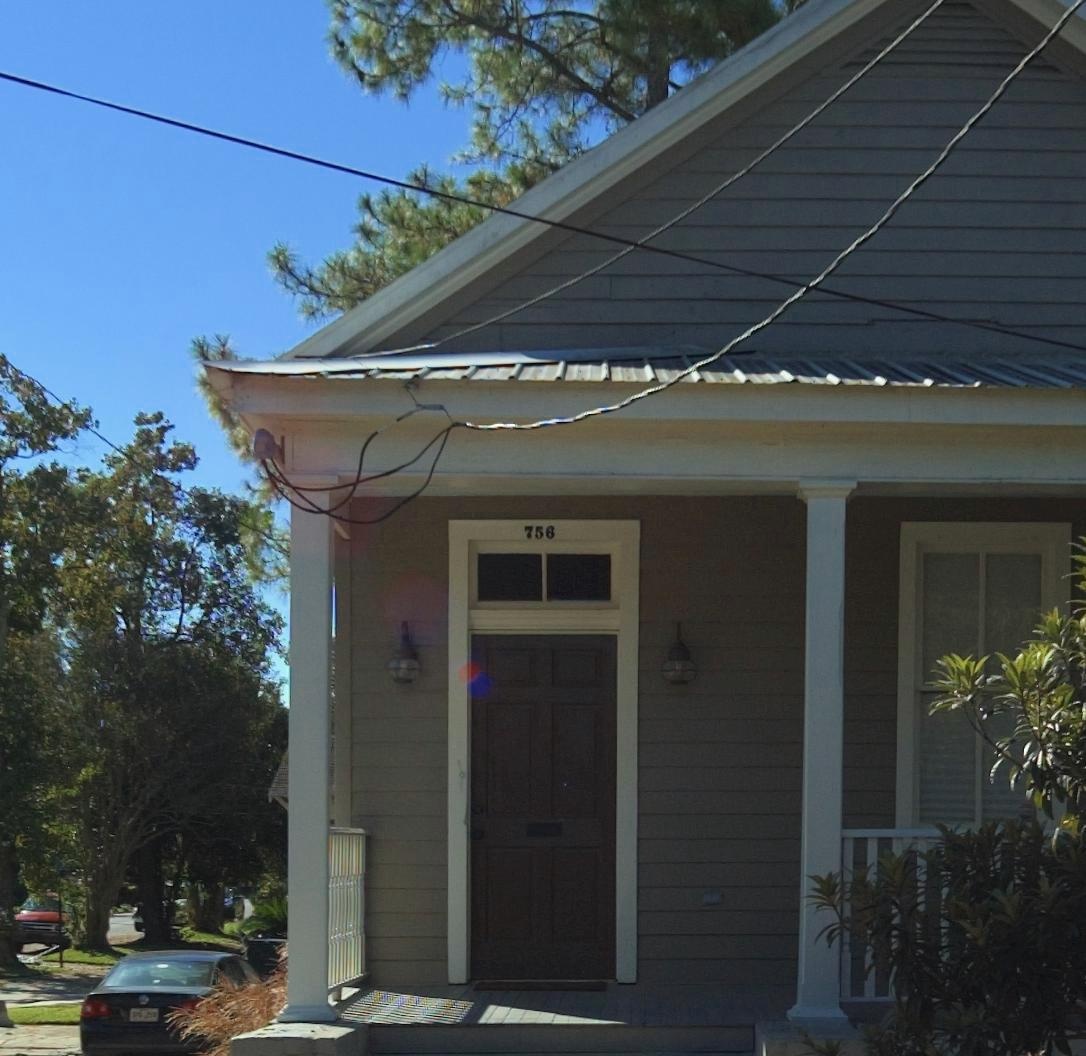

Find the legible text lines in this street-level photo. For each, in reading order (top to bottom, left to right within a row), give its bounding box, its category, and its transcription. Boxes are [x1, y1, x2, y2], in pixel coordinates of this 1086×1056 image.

[522, 523, 557, 542] StreetNumber: 756